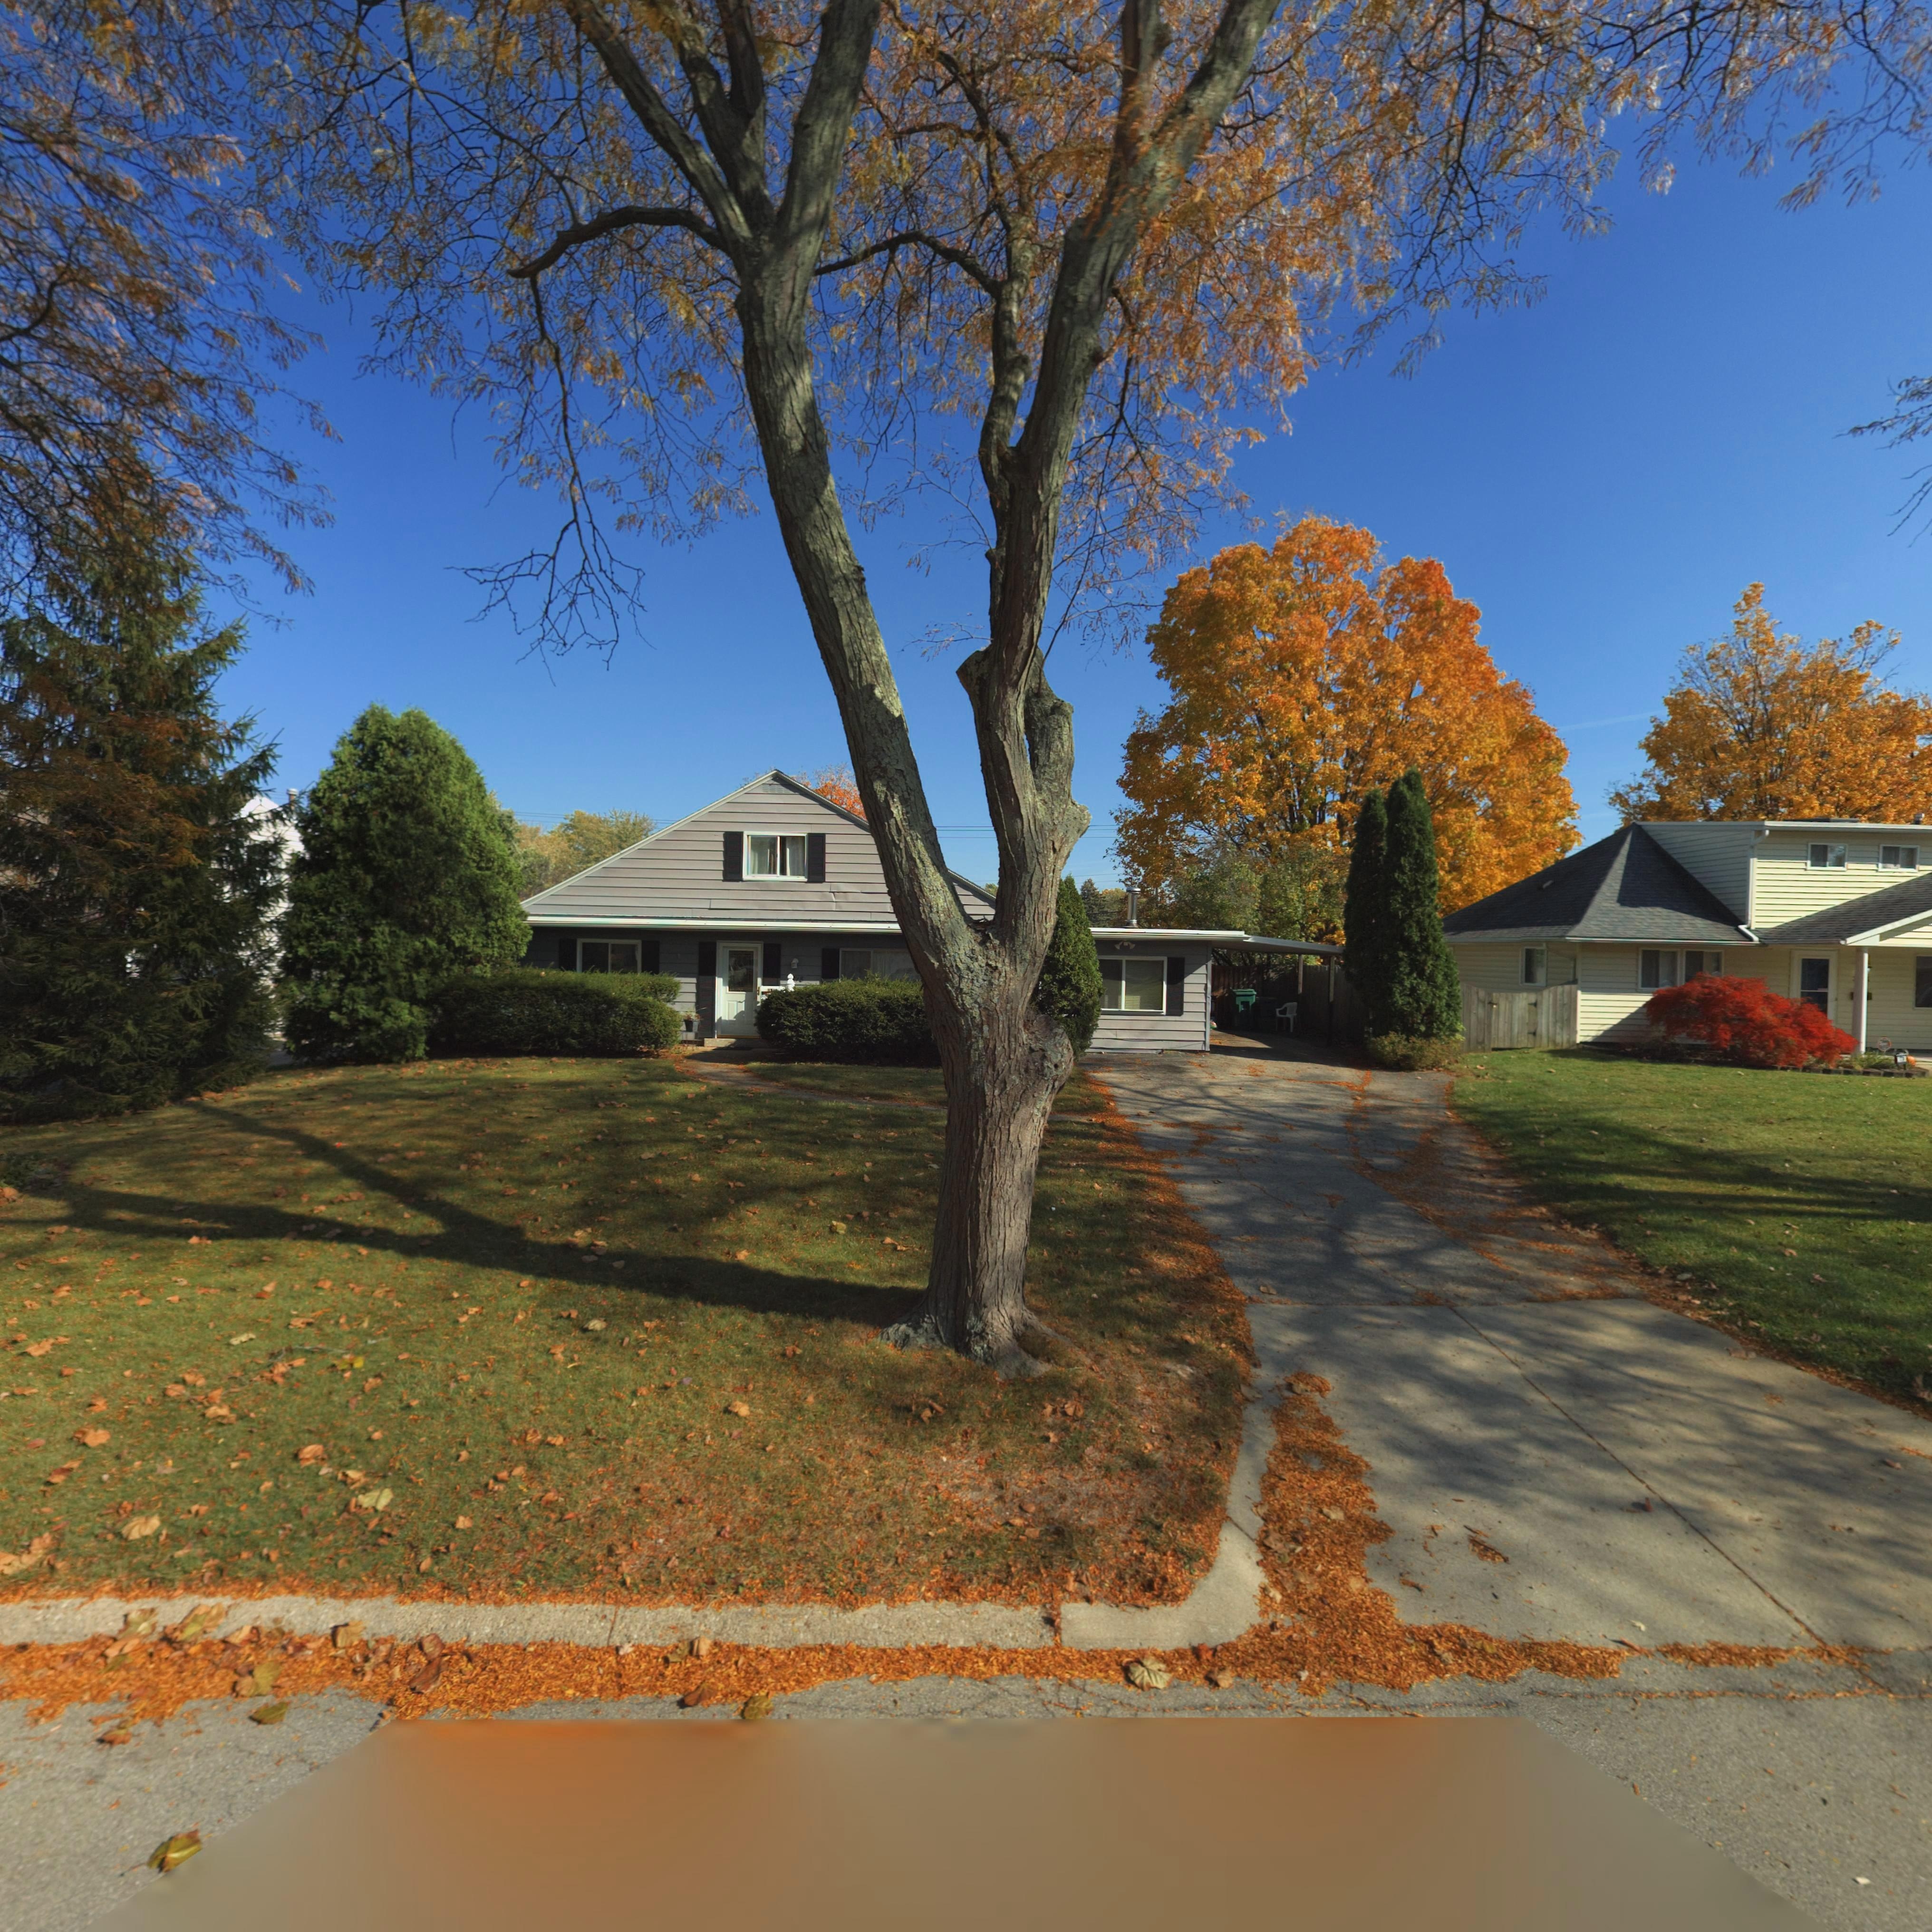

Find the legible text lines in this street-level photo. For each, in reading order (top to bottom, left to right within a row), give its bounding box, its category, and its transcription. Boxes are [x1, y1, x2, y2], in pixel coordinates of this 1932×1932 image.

[795, 976, 804, 983] StreetNumber: 18